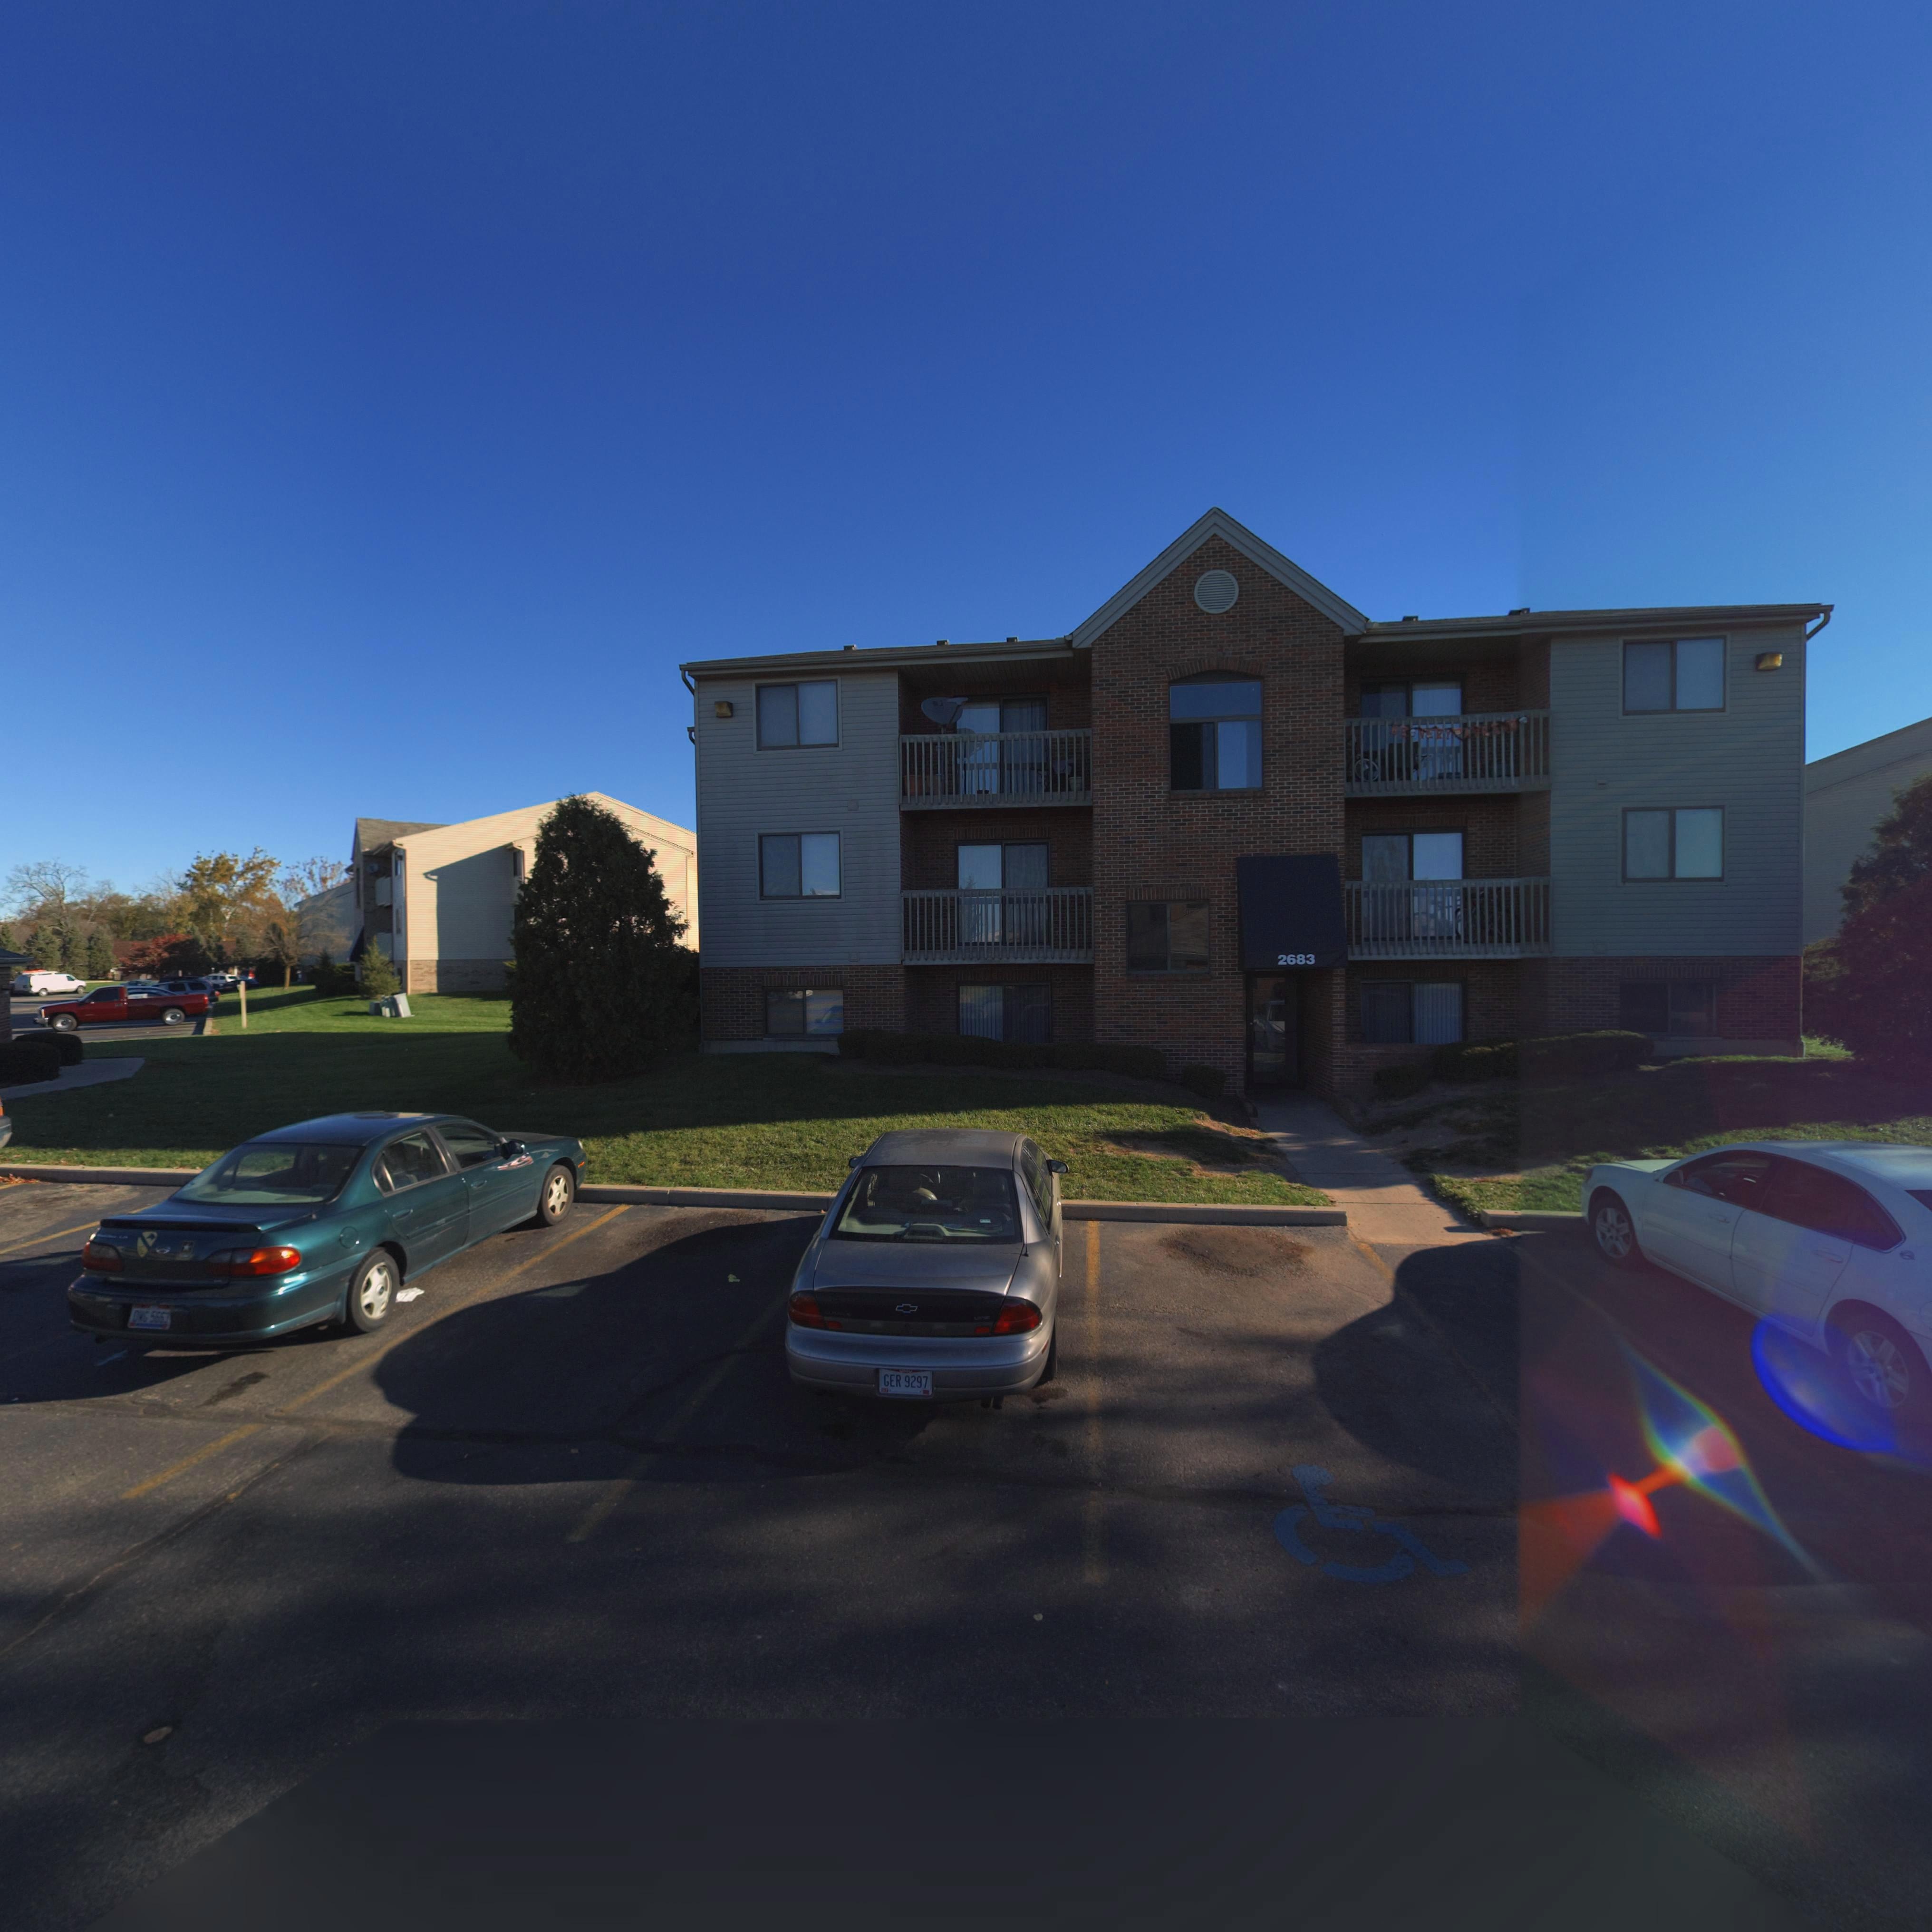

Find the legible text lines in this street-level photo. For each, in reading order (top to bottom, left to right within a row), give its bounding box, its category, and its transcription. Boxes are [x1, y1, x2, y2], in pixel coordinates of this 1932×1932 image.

[1276, 954, 1316, 965] StreetNumber: 2683